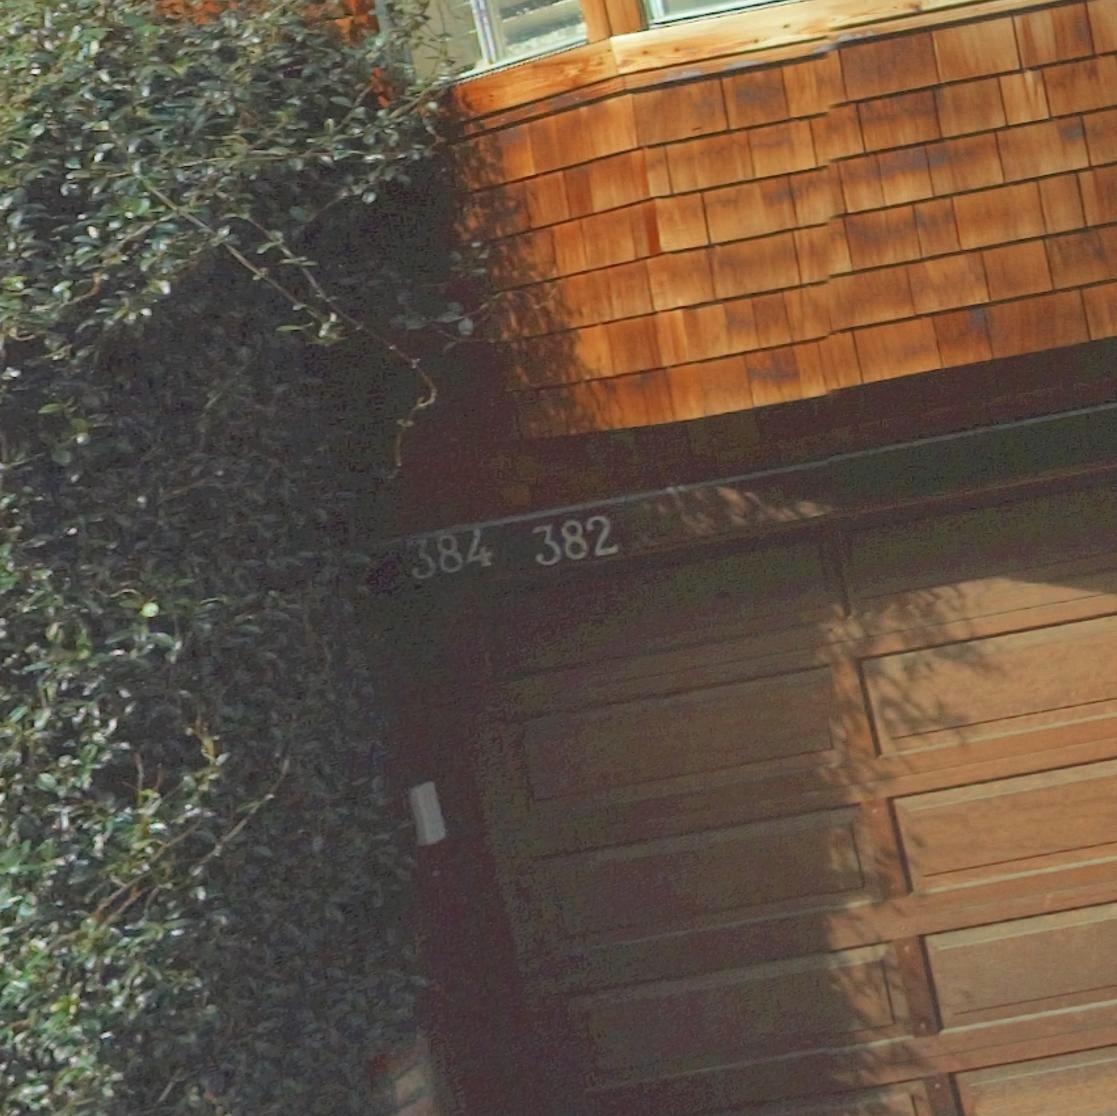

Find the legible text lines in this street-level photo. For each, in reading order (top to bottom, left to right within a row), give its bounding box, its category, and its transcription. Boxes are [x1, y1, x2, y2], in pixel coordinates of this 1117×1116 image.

[404, 527, 496, 584] StreetNumber: 384
[529, 512, 623, 571] StreetNumber: 382